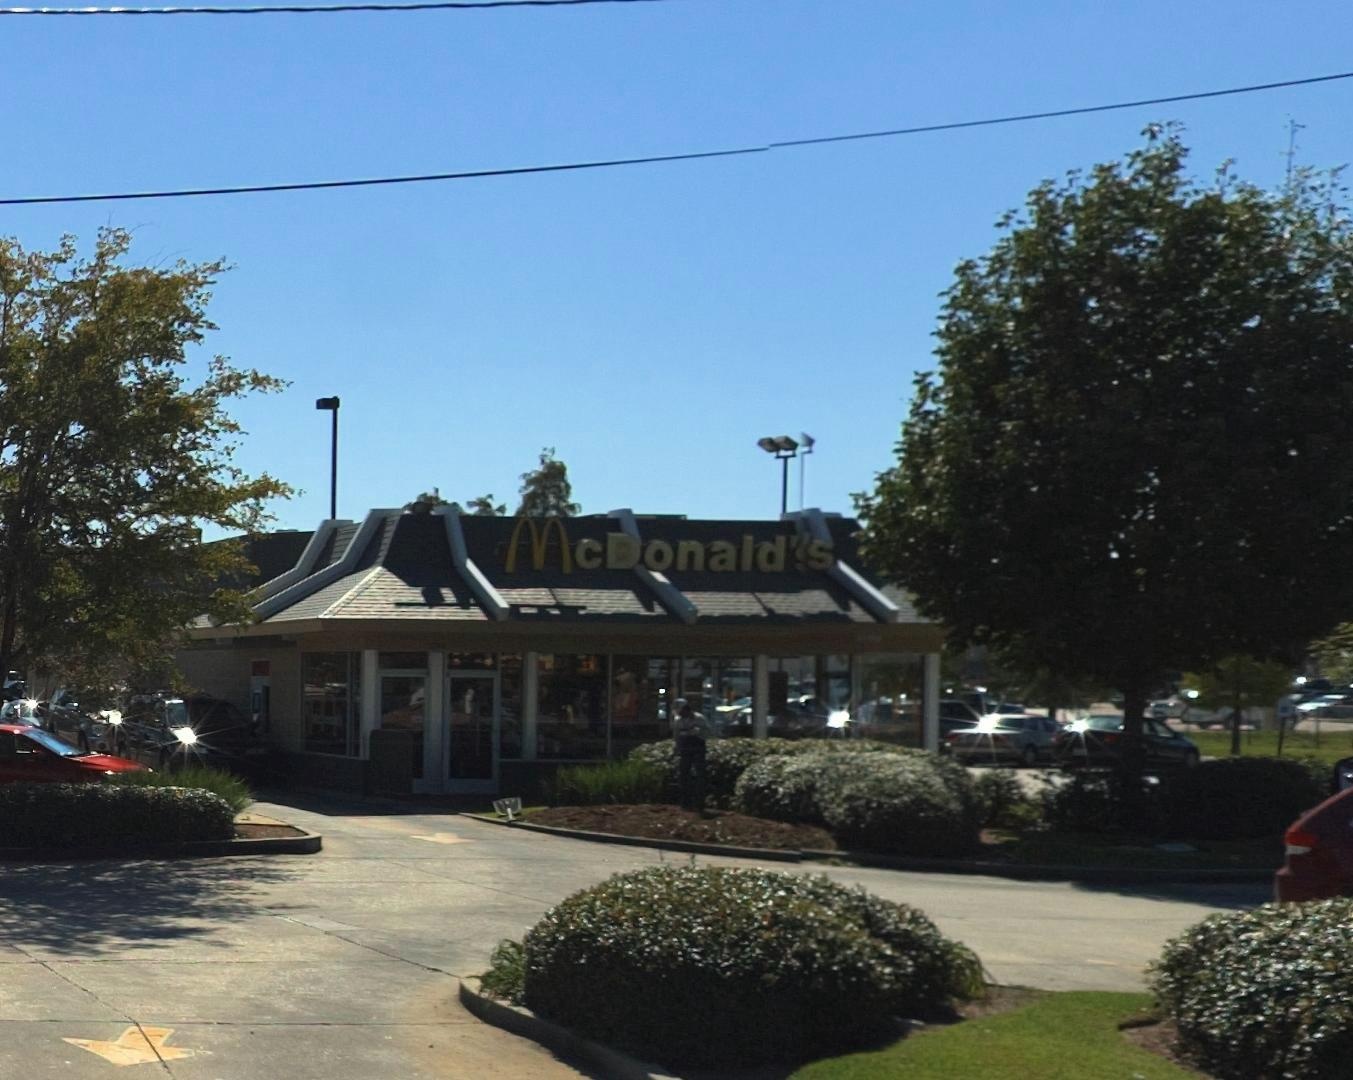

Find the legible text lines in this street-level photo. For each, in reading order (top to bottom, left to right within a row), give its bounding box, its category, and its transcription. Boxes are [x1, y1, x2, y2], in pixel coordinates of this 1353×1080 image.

[498, 510, 837, 576] BusinessName: McDonald'*